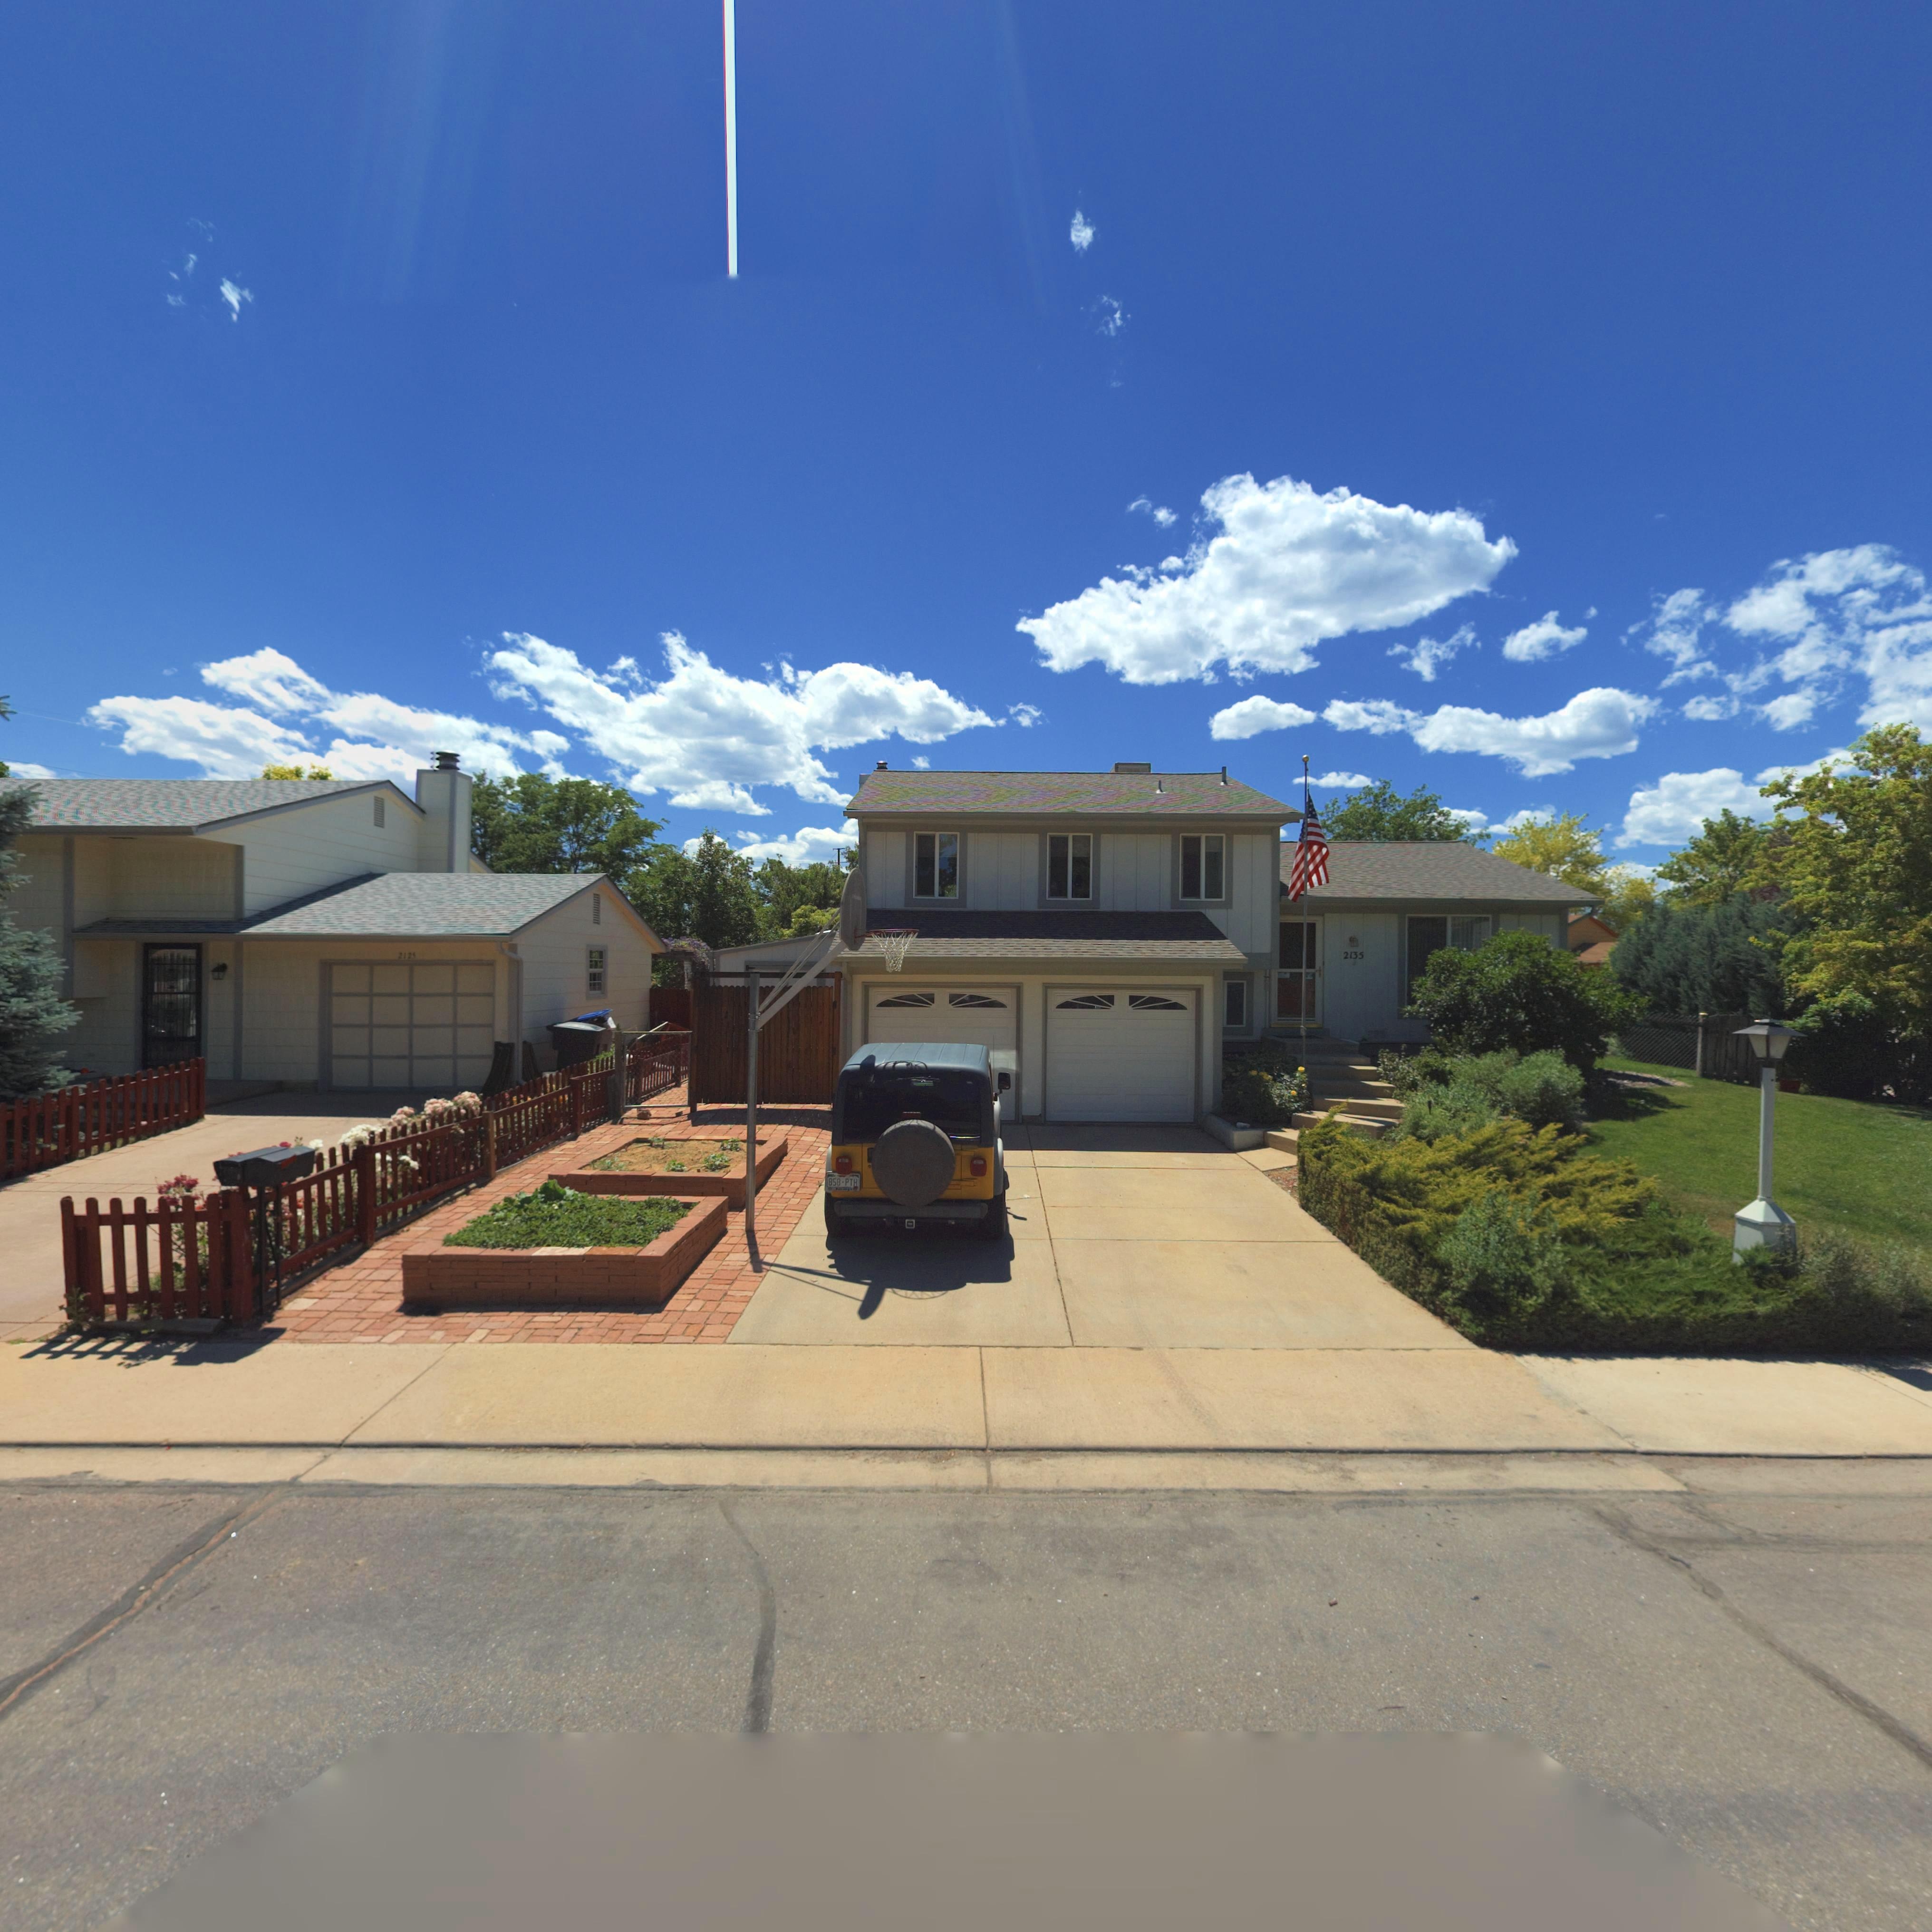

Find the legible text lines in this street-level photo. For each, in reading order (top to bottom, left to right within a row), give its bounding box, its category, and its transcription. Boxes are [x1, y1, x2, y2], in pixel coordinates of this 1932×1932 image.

[396, 952, 417, 959] StreetNumber: 2125
[1343, 951, 1364, 960] StreetNumber: 2135